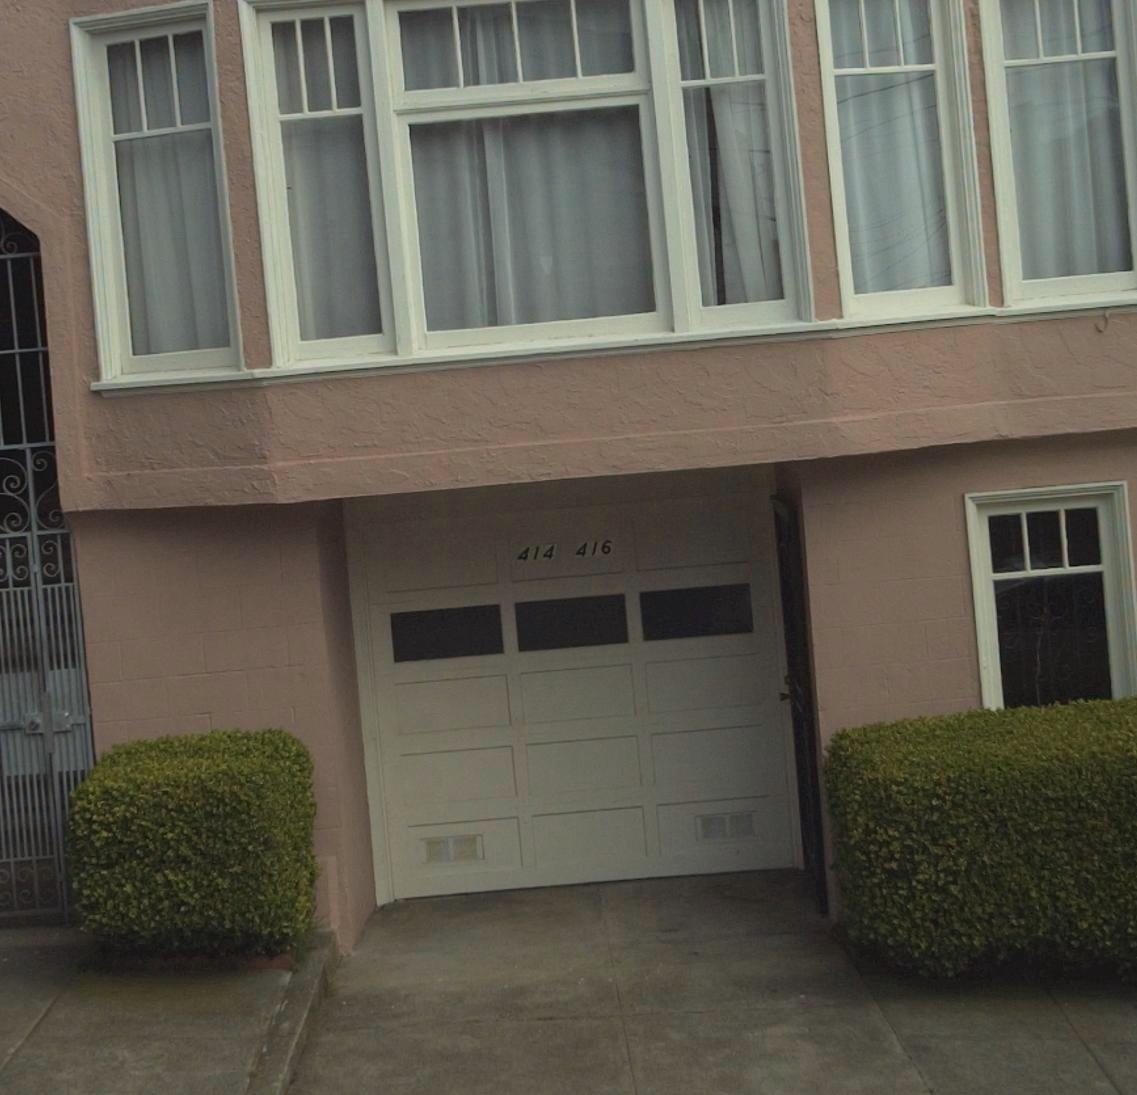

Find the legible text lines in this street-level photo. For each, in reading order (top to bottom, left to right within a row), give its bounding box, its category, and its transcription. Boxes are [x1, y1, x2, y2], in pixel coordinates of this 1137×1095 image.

[514, 543, 557, 564] StreetNumber: 414
[571, 537, 614, 559] StreetNumber: 416